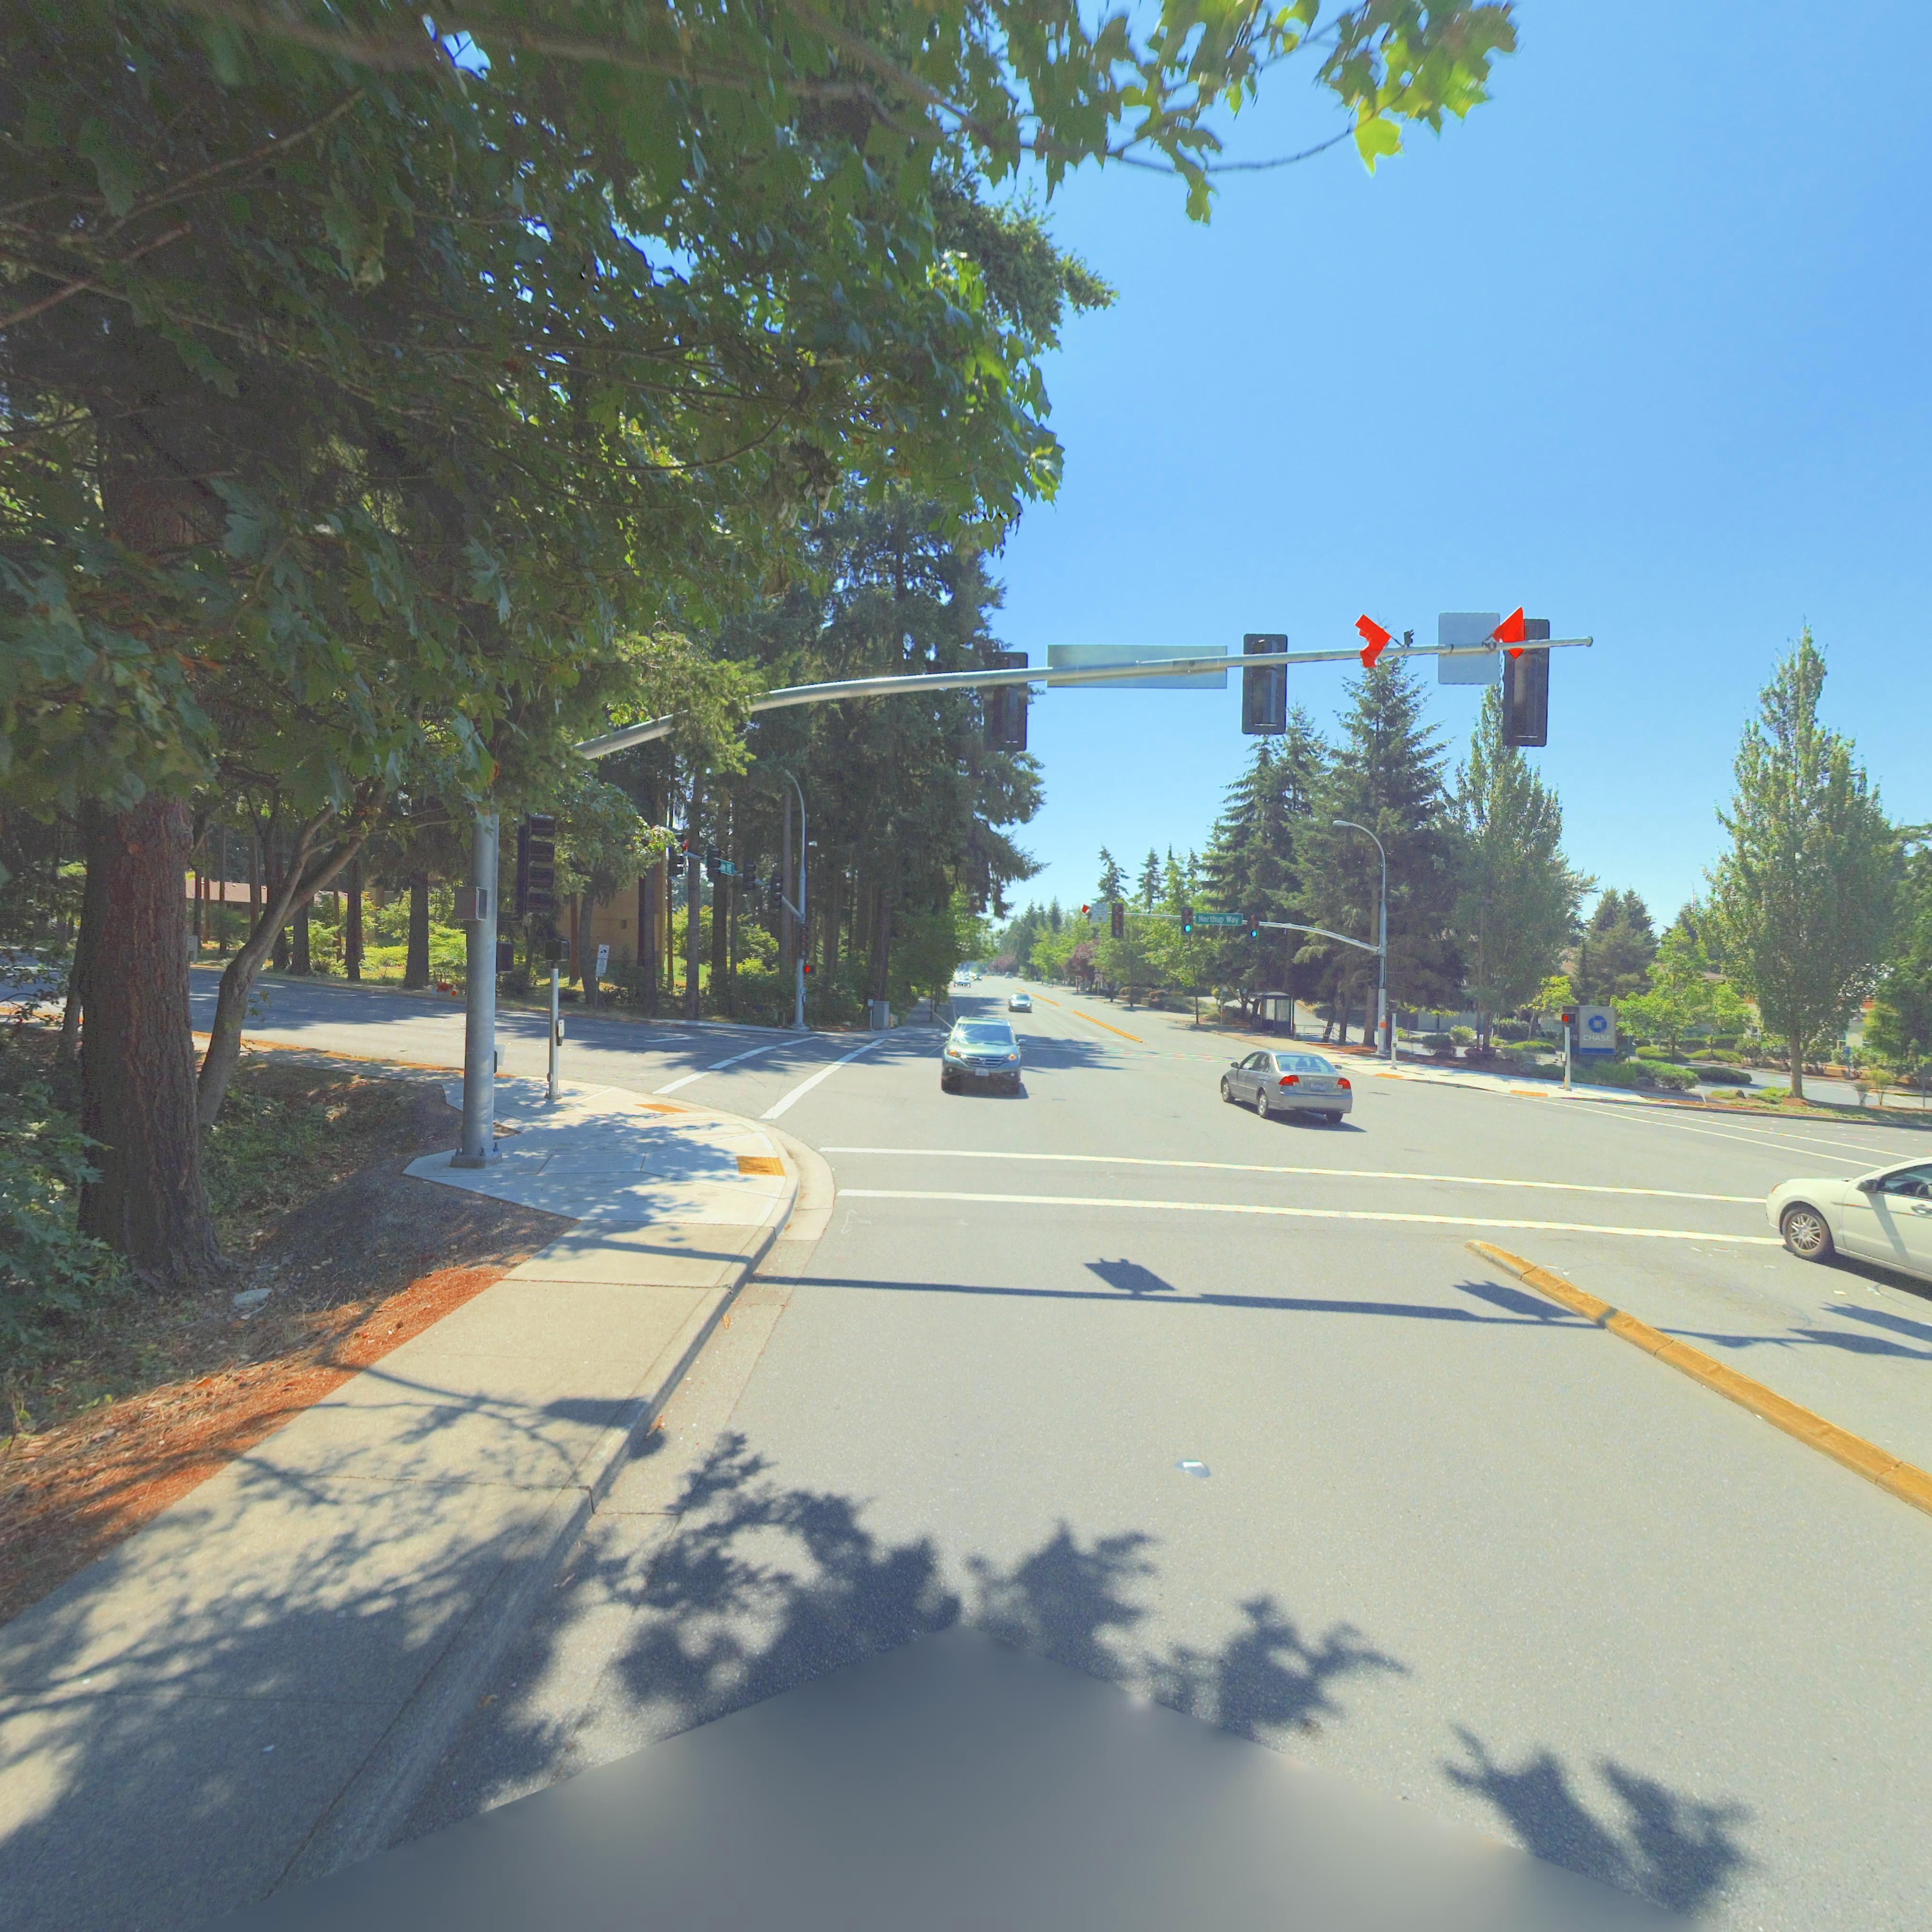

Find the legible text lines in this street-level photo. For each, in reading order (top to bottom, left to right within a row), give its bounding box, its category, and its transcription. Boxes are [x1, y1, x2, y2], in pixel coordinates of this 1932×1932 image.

[1198, 915, 1238, 924] StreetName: Northup Way
[1570, 1034, 1577, 1040] BusinessName: *SE
[1584, 1035, 1611, 1040] BusinessName: CHASE